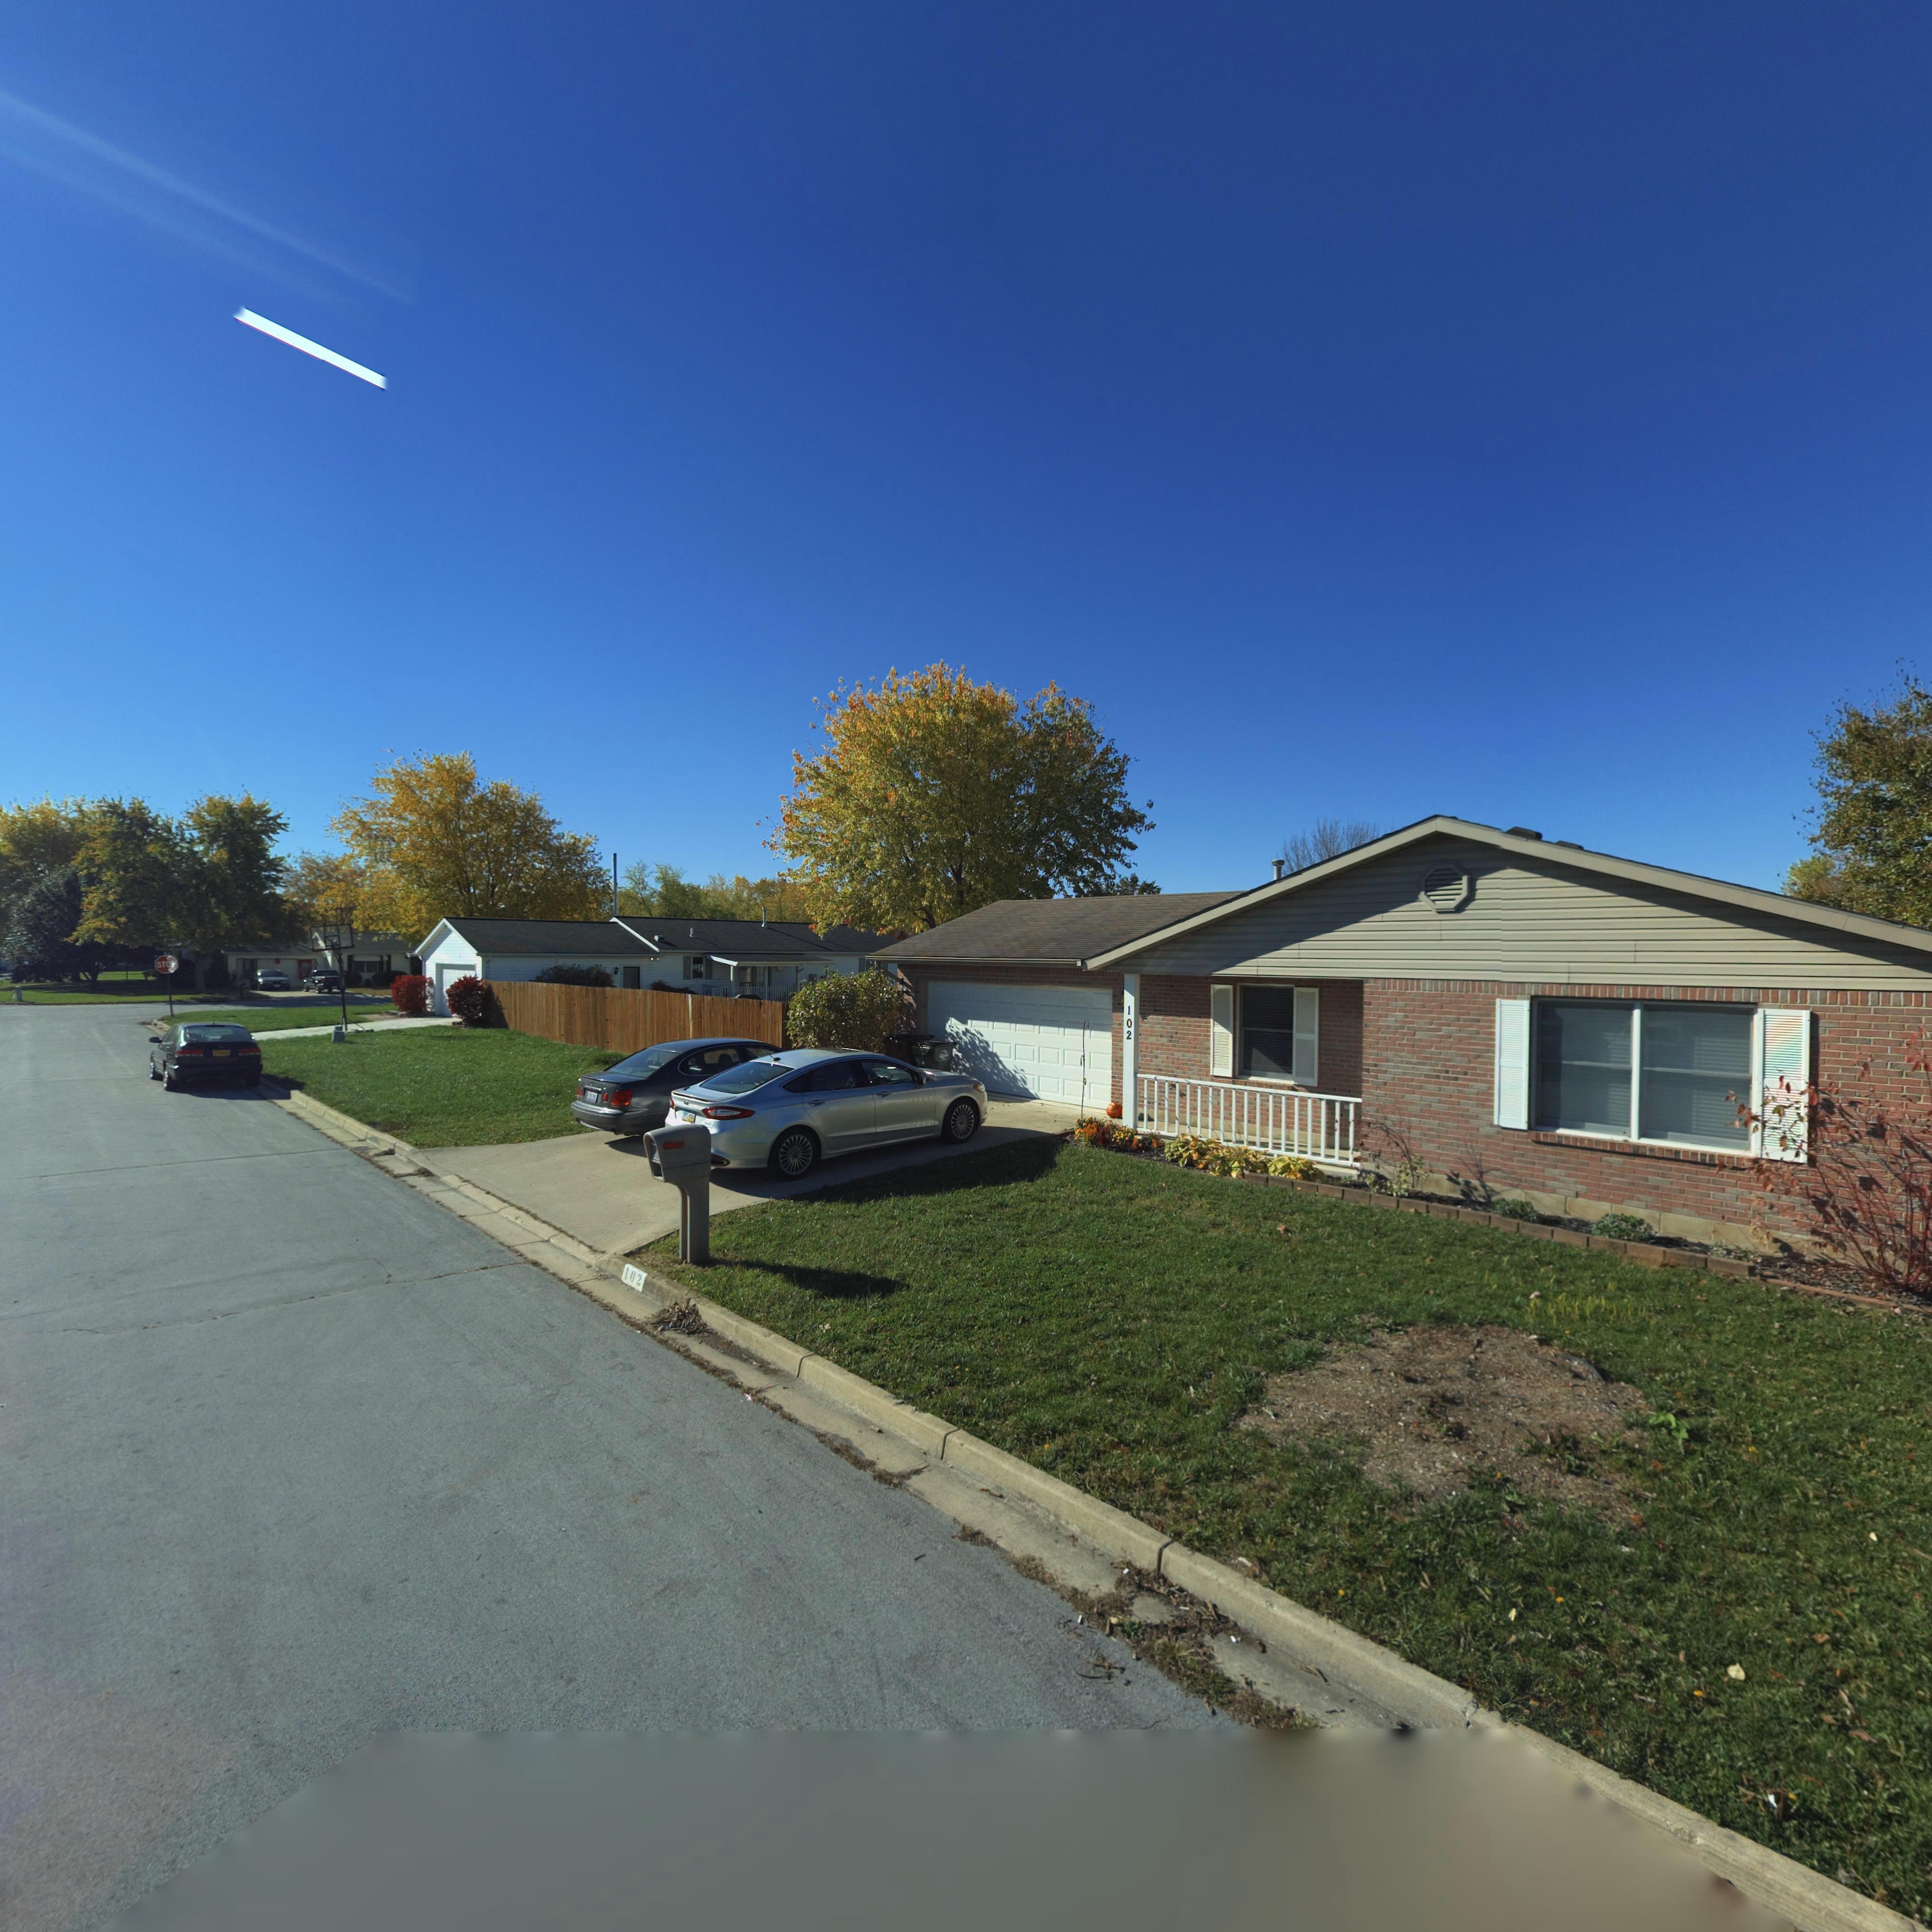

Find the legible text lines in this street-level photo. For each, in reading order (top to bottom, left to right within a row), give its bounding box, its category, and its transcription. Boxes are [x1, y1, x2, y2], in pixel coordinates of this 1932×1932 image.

[1124, 1005, 1133, 1041] StreetNumber: 102
[623, 1266, 644, 1288] StreetNumber: 102